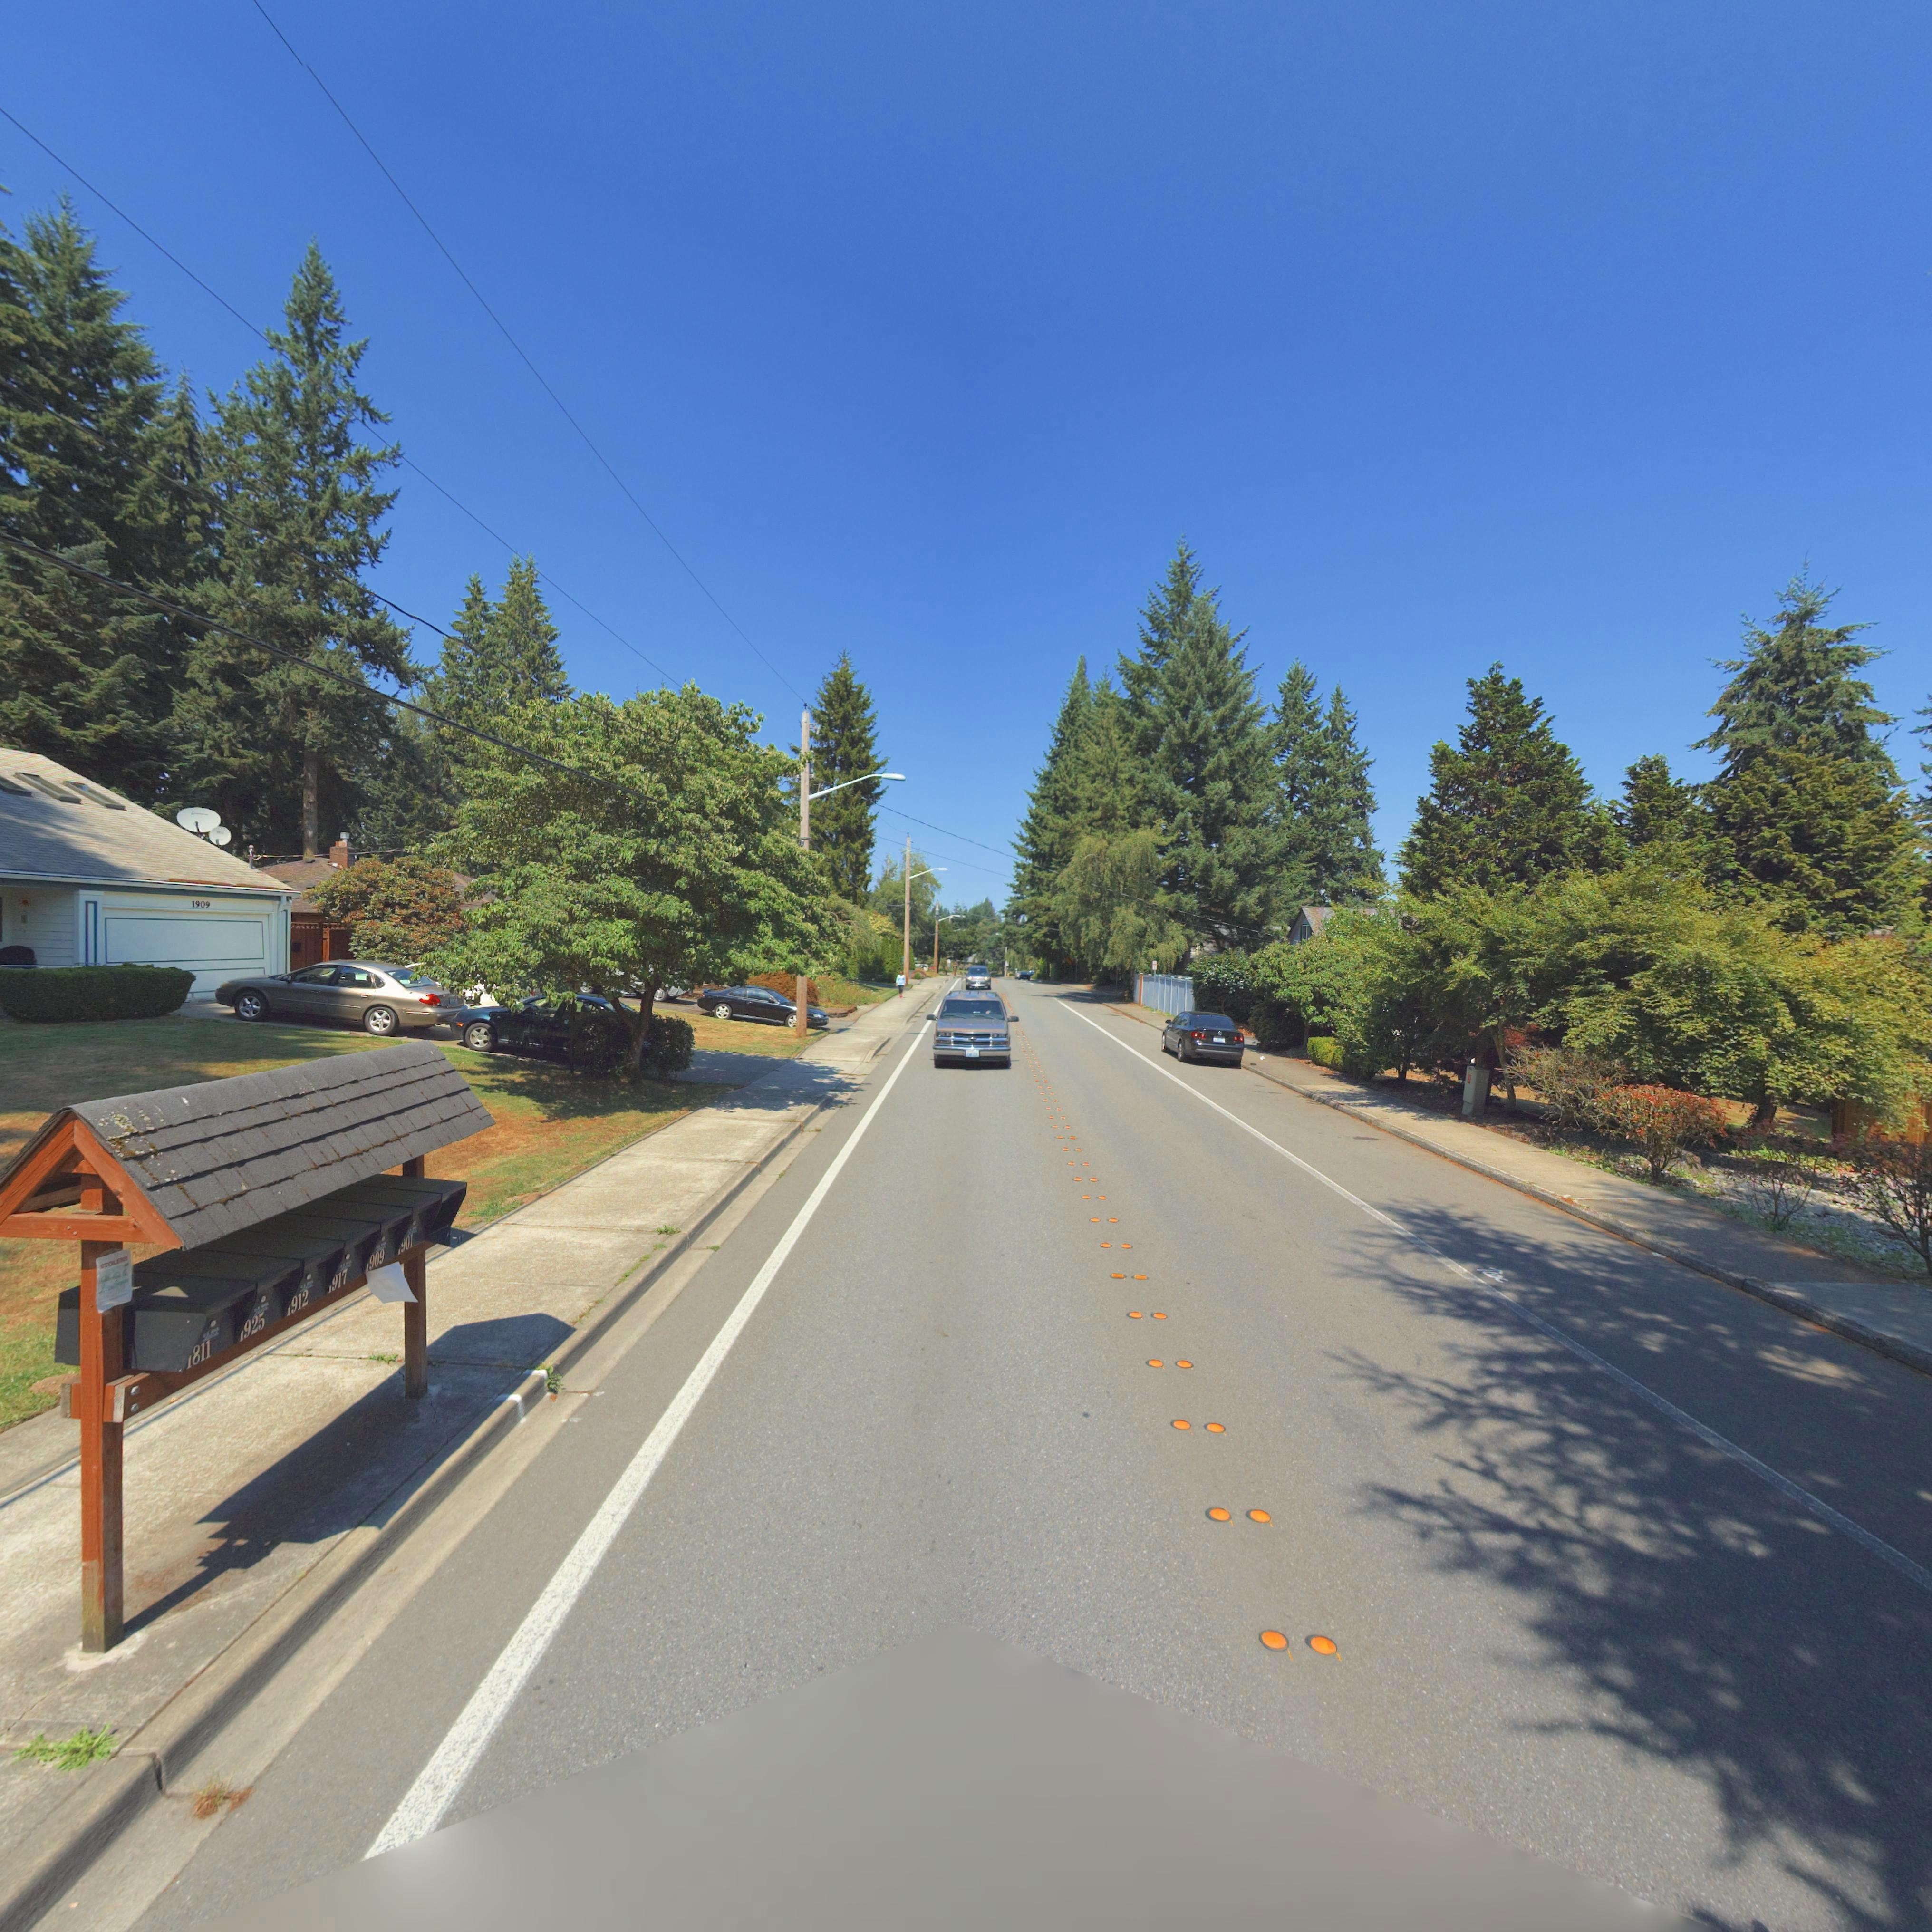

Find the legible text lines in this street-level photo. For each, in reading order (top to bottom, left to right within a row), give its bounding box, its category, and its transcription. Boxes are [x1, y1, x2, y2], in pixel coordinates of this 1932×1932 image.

[190, 899, 211, 909] StreetNumber: 1909
[397, 1232, 413, 1254] StreetNumber: **01
[366, 1249, 385, 1272] StreetNumber: *909
[326, 1267, 348, 1293] StreetNumber: *17
[287, 1289, 309, 1316] StreetNumber: *912
[239, 1310, 265, 1341] StreetNumber: *925
[192, 1339, 212, 1367] StreetNumber: 811